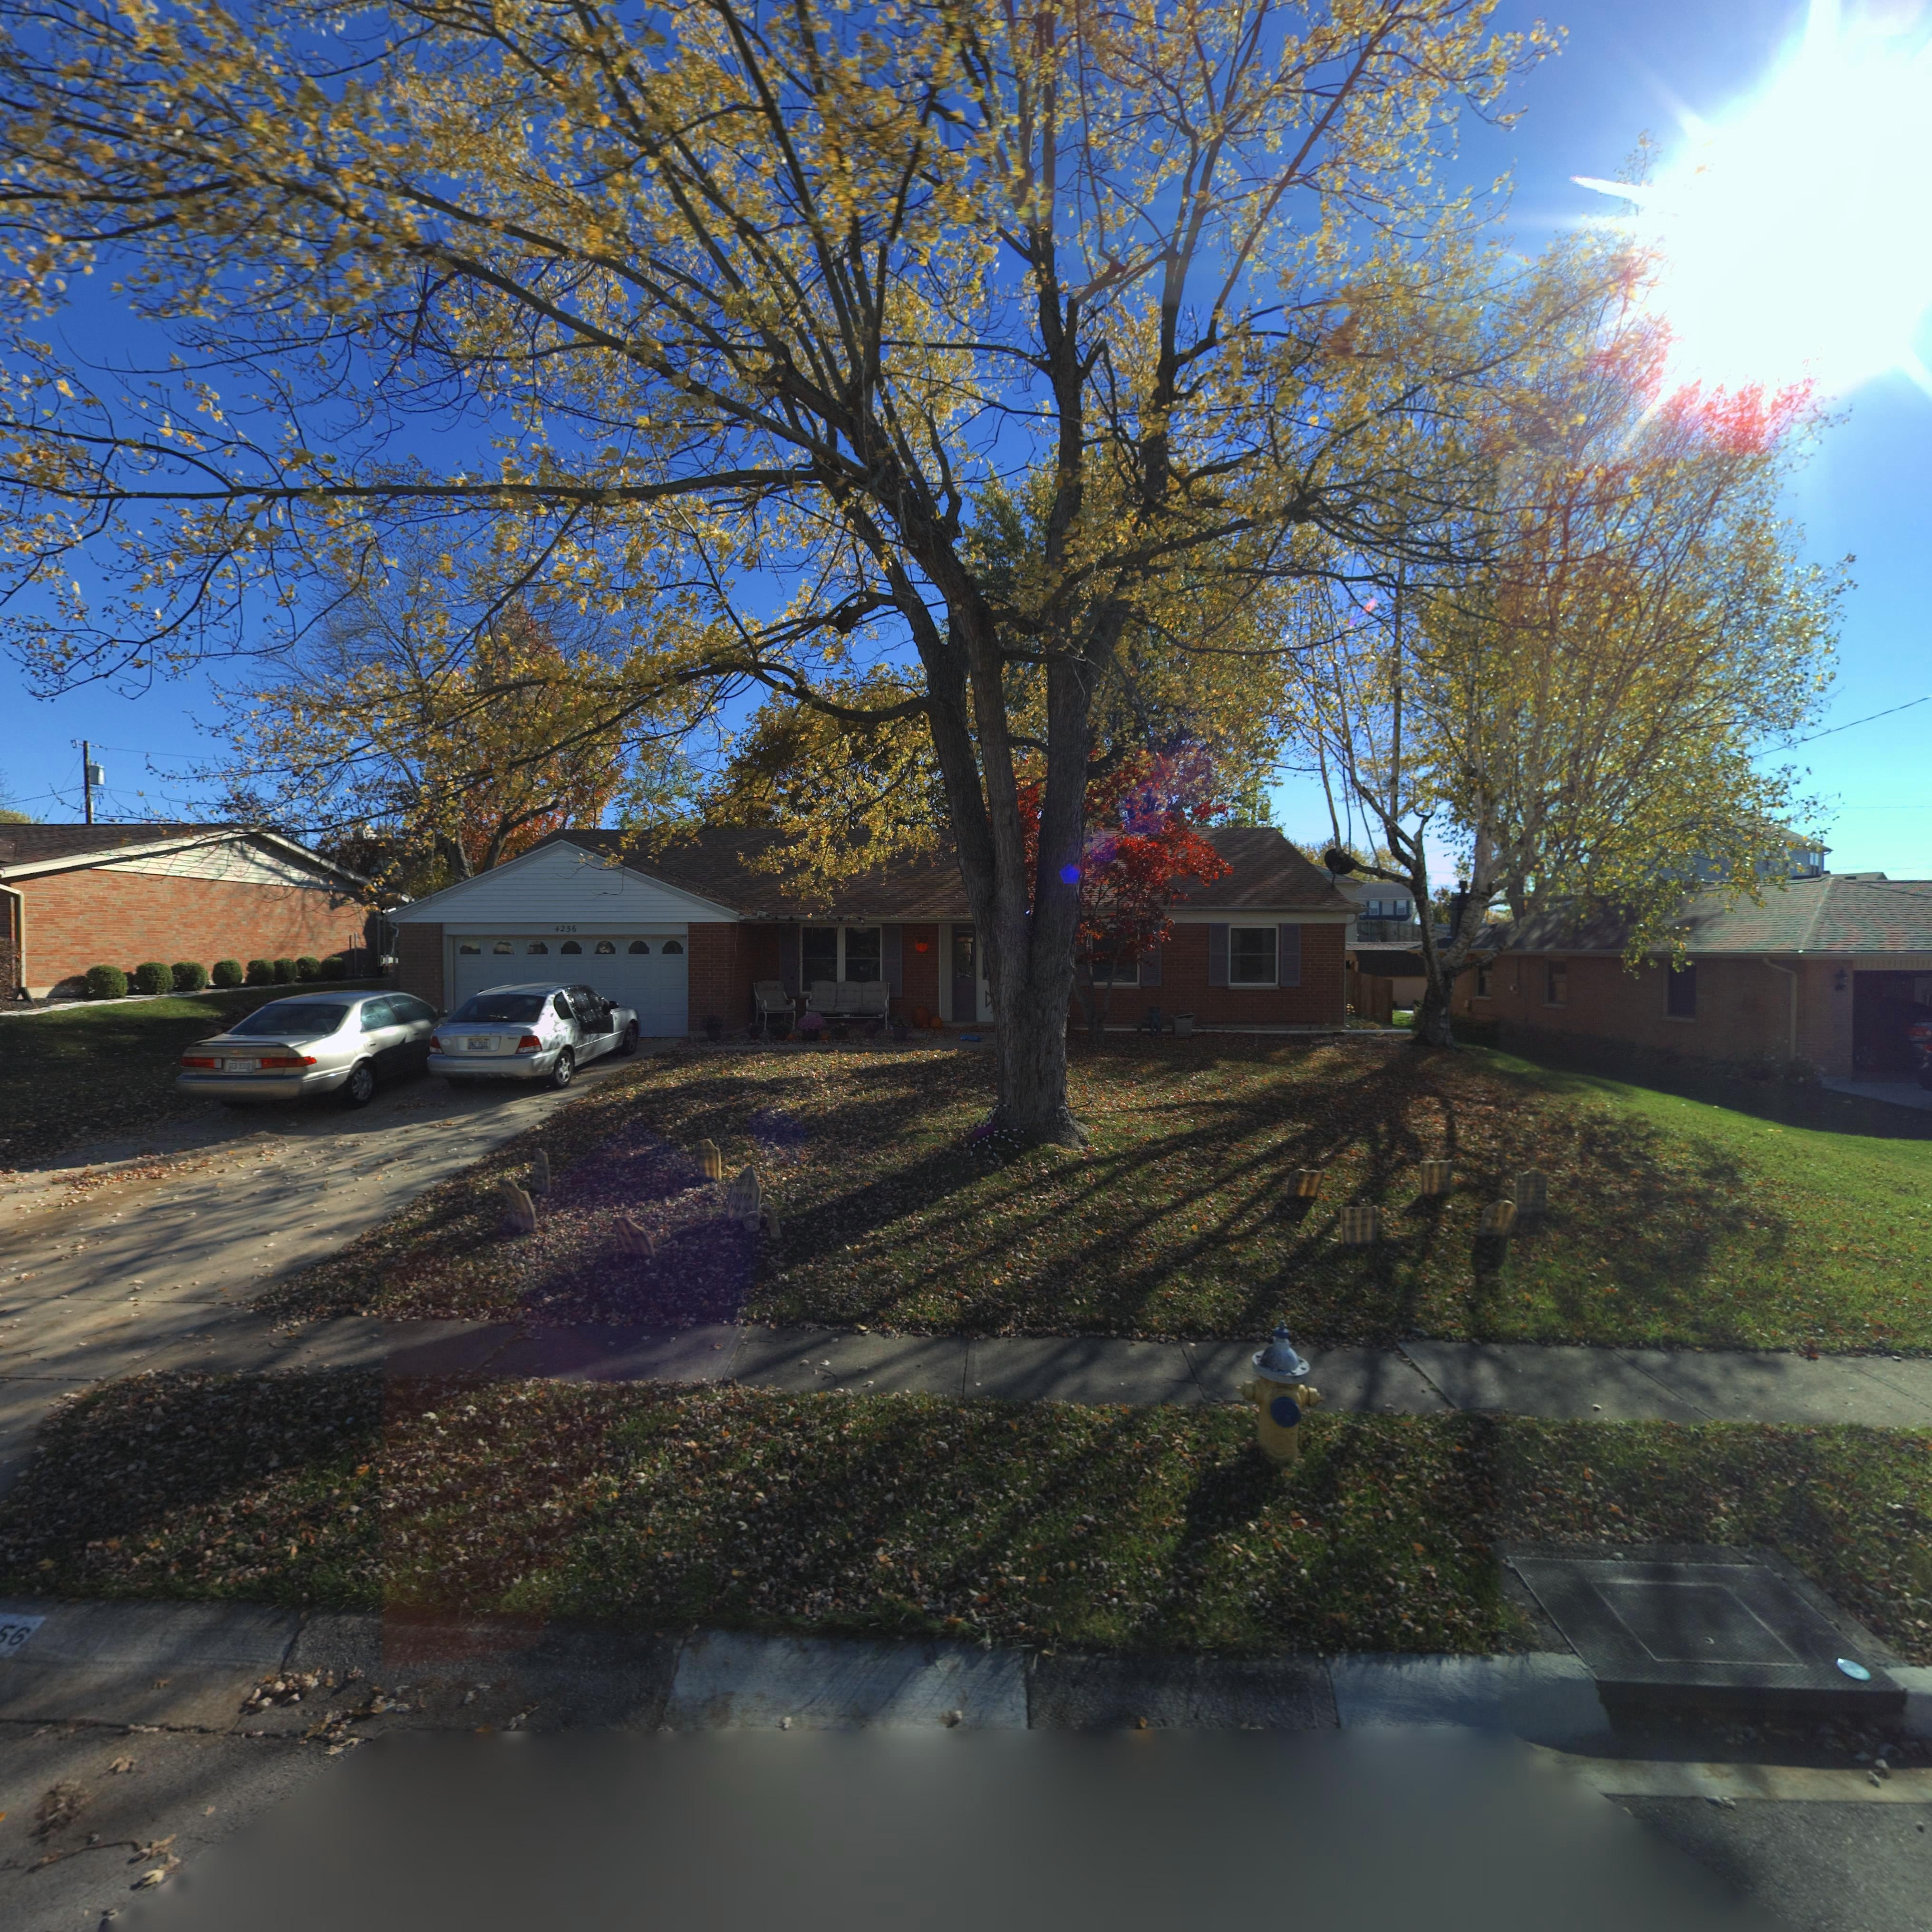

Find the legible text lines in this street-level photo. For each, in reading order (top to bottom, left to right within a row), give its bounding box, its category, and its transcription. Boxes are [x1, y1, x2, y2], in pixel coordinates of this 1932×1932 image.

[554, 924, 578, 933] StreetNumber: 4256
[468, 1041, 489, 1048] None: D*Z*7531
[228, 1062, 251, 1070] None: GE**931*
[734, 1180, 753, 1188] None: LIES
[731, 1190, 755, 1203] None: MYRA
[729, 1203, 750, 1214] None: MAIN
[7, 1625, 32, 1648] StreetNumber: 6